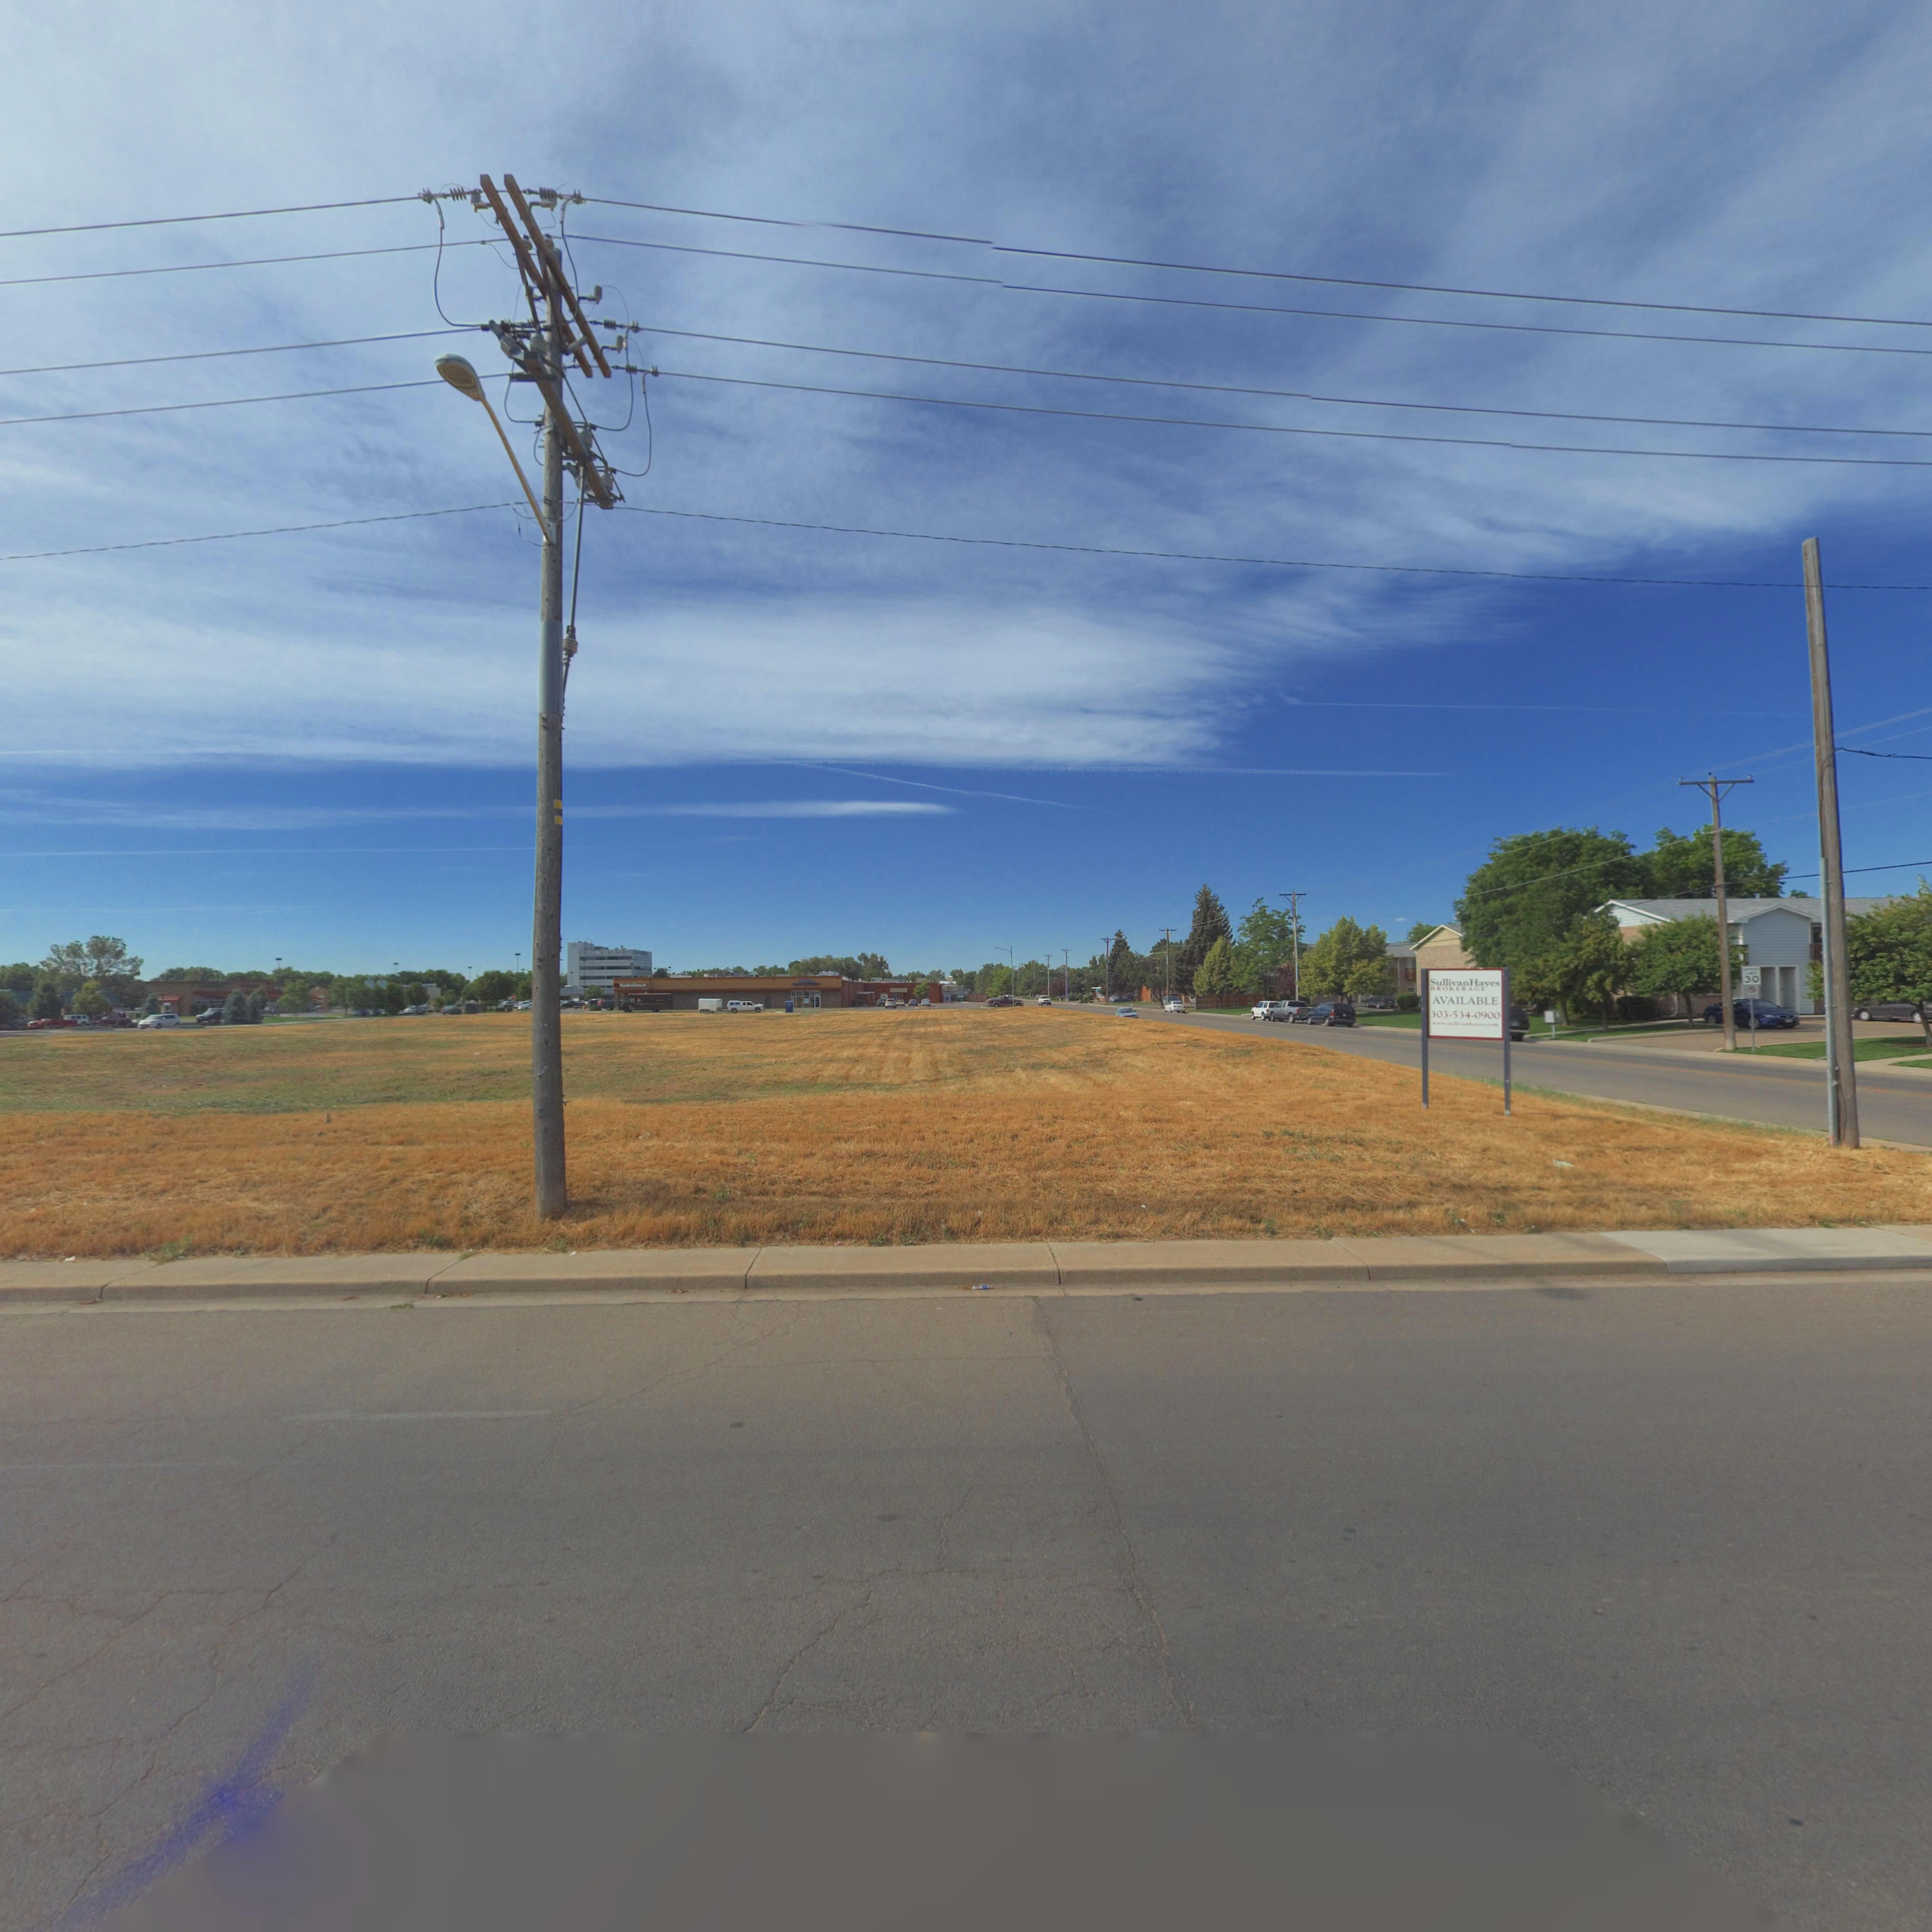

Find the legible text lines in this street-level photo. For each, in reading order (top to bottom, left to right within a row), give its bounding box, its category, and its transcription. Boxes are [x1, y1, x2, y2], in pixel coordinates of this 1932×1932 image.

[581, 949, 602, 955] BusinessName: 1STBANK
[619, 982, 647, 987] BusinessName: RadioShack